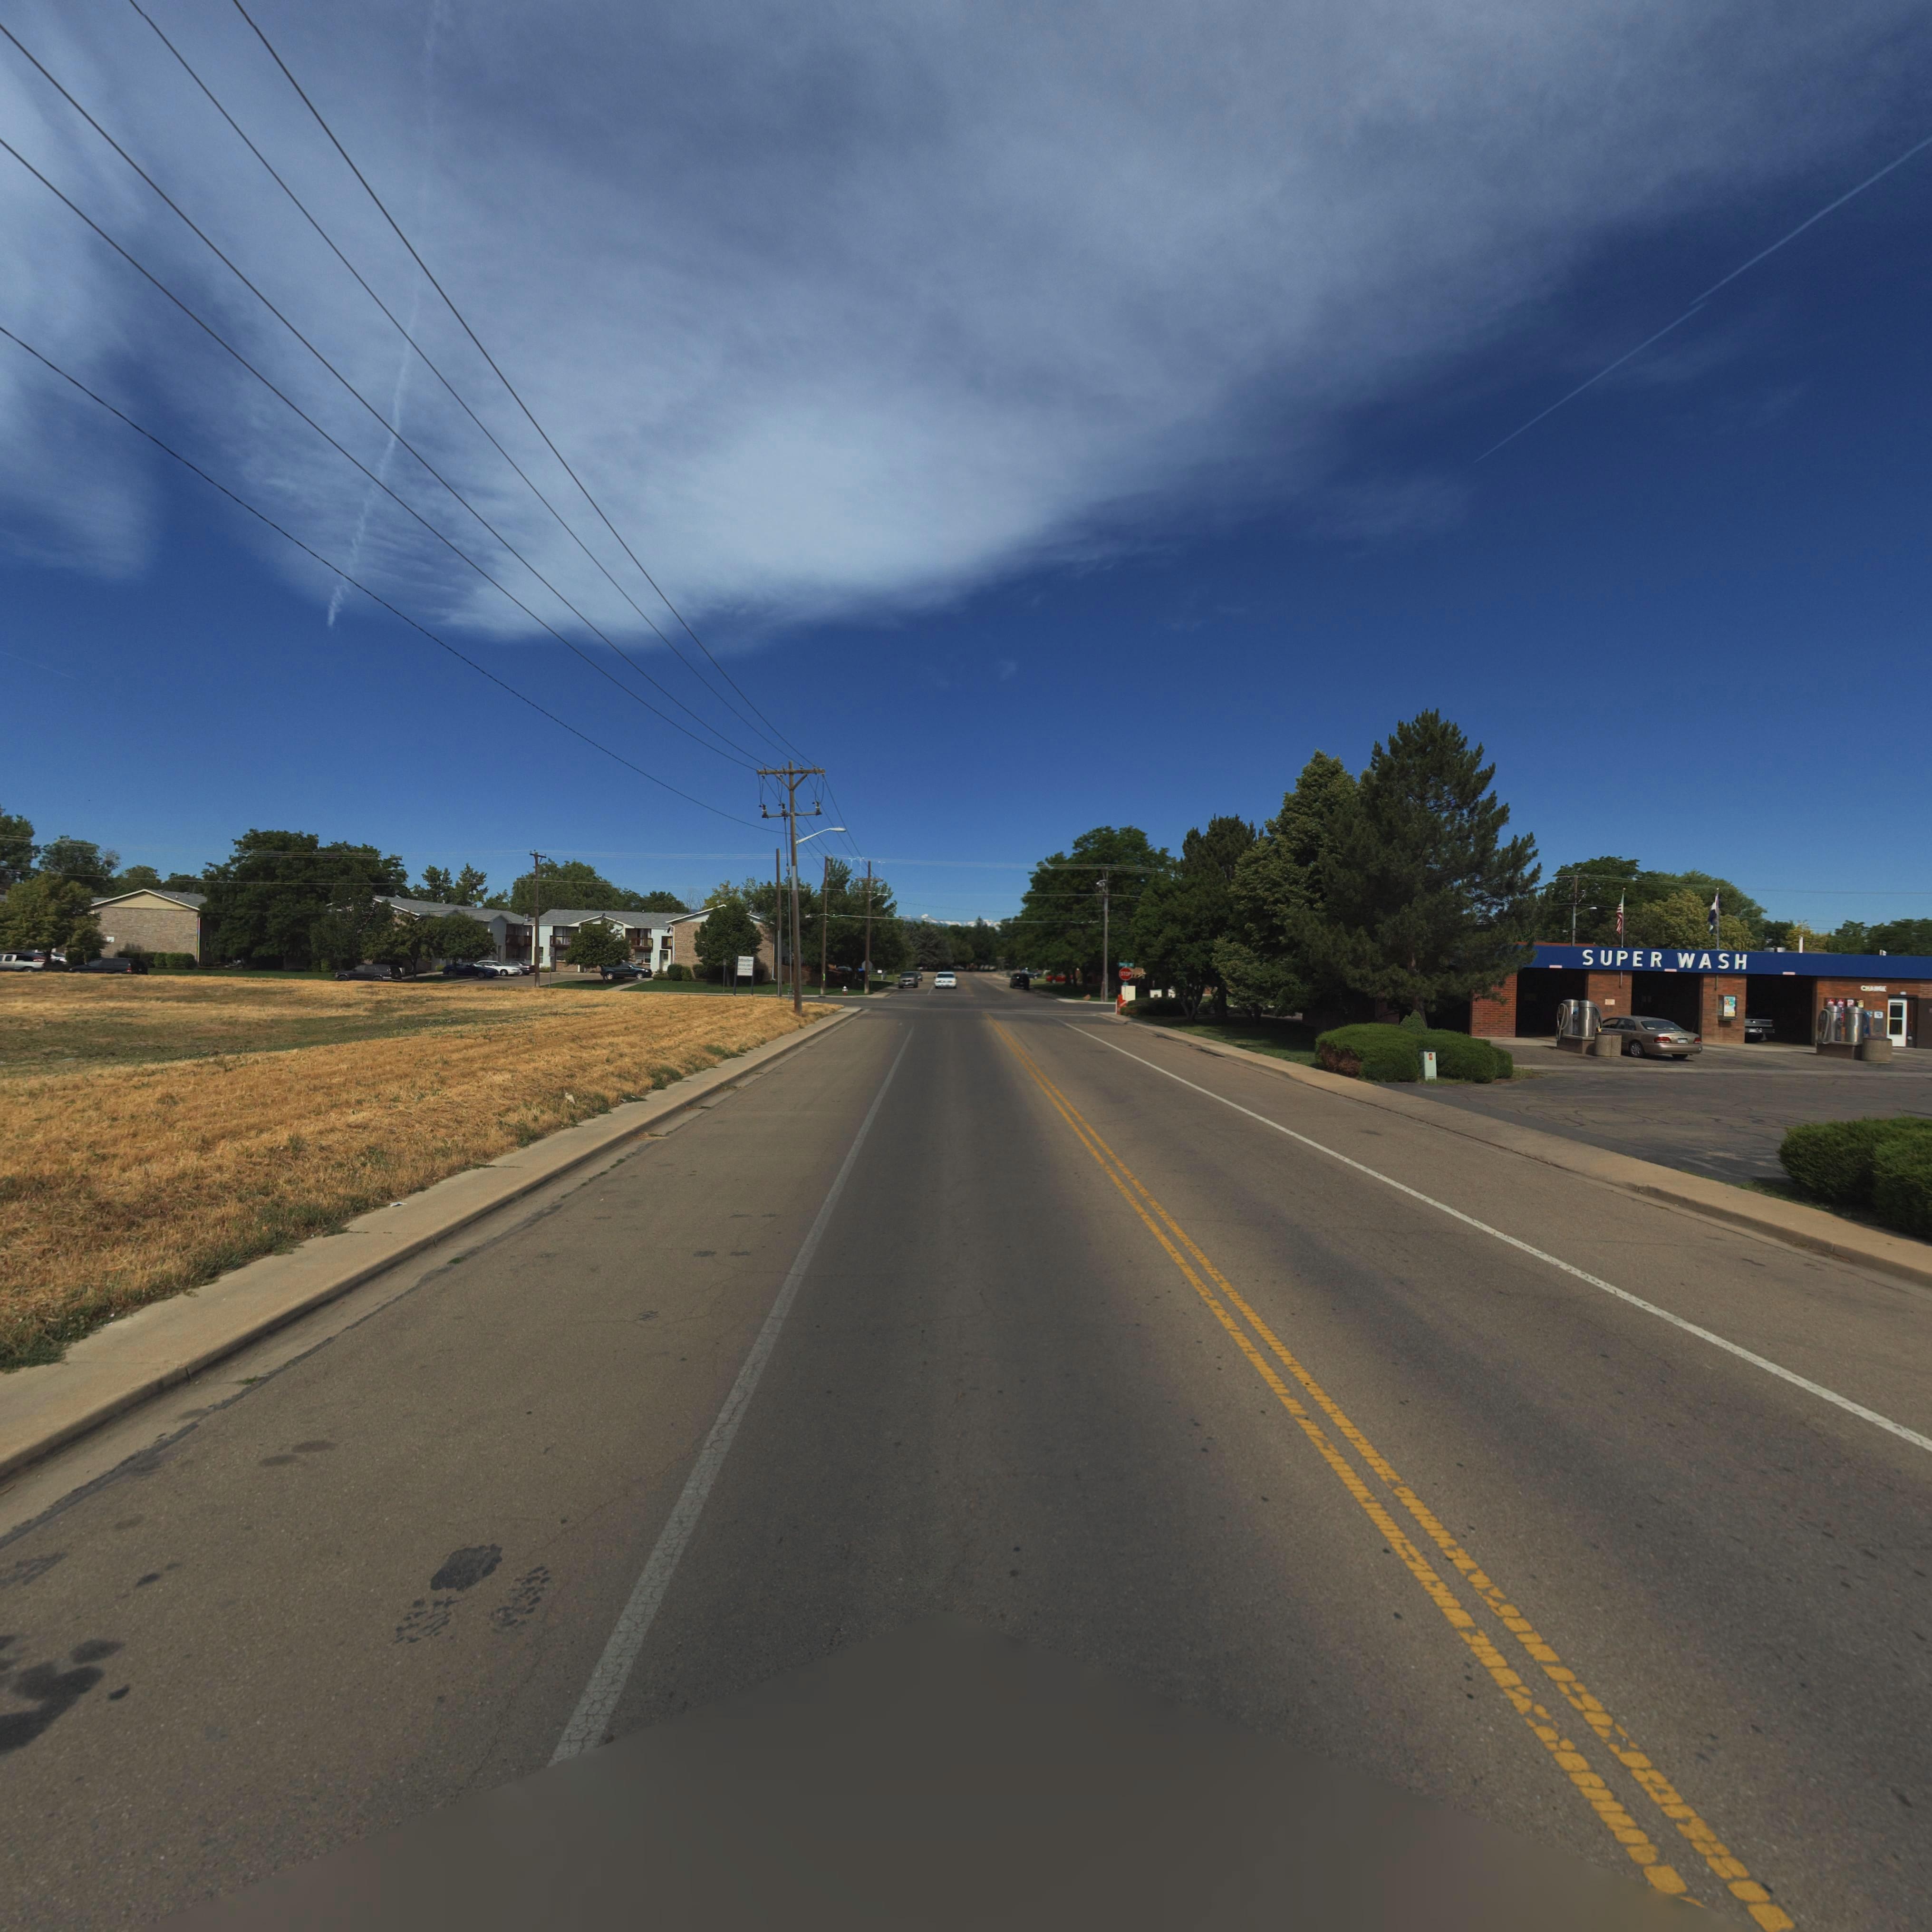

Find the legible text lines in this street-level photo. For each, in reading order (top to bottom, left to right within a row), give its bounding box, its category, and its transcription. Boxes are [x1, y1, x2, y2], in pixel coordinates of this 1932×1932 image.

[1582, 948, 1748, 971] BusinessName: SUPER WASH